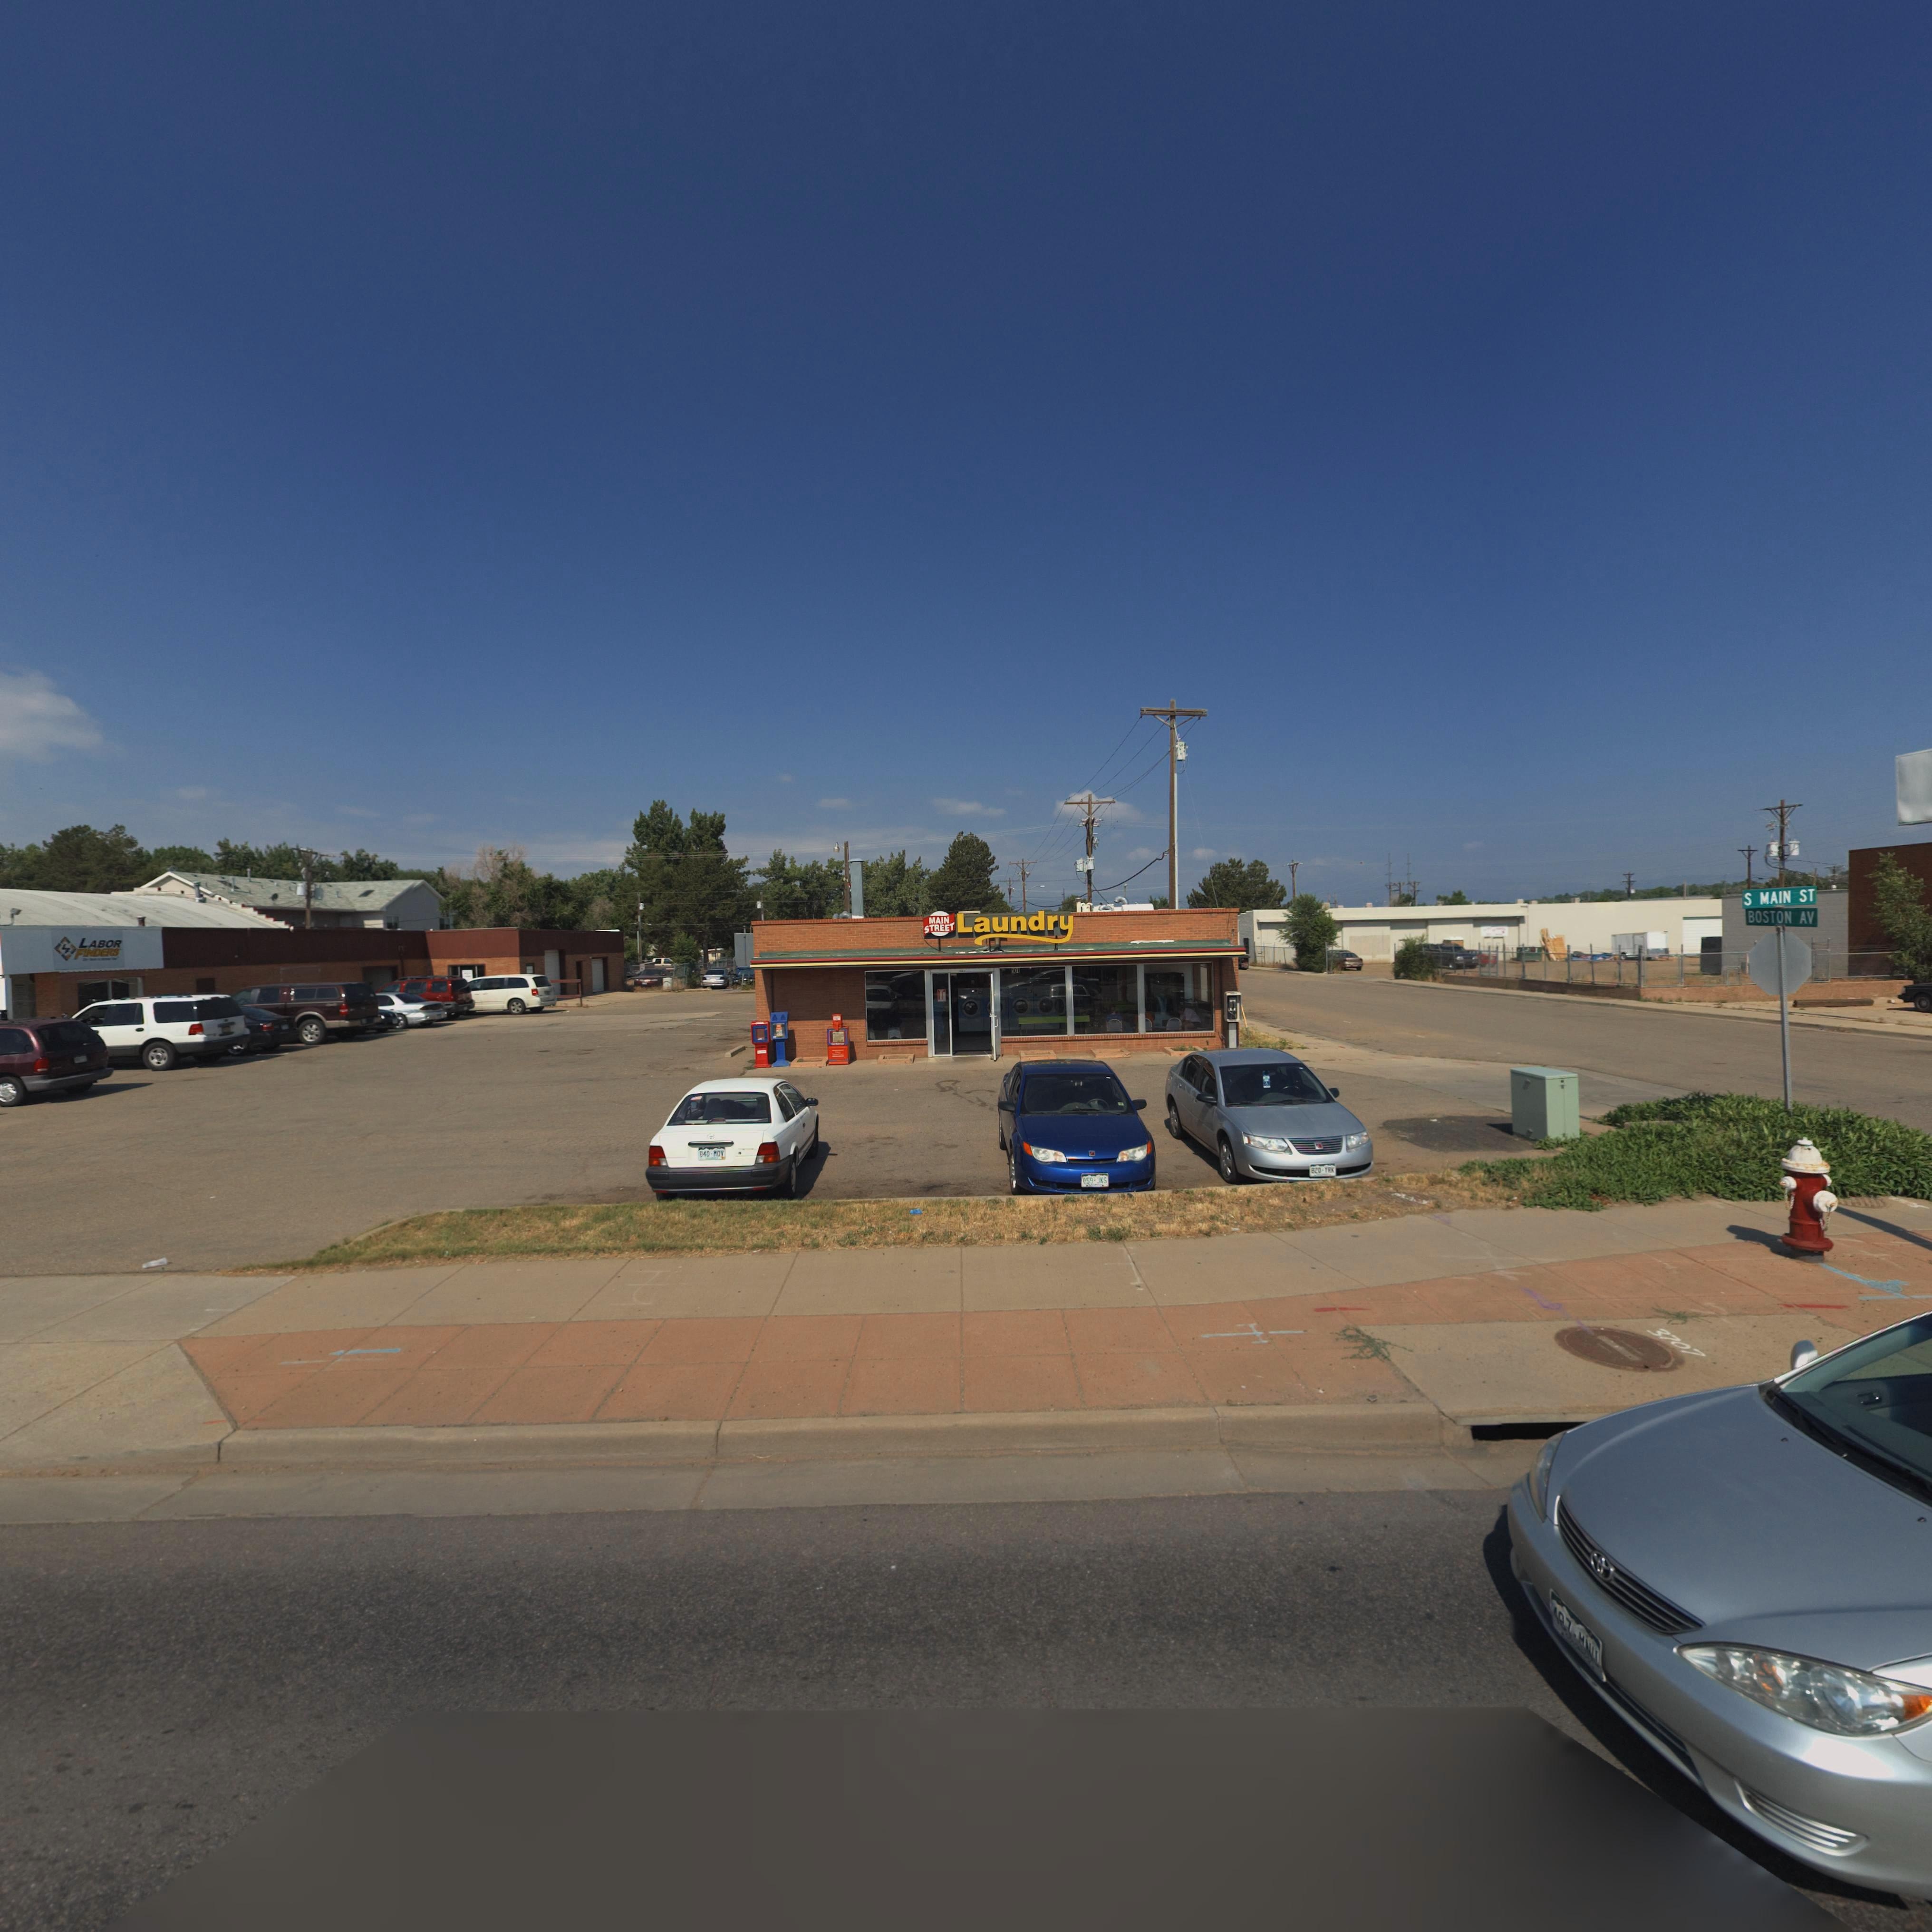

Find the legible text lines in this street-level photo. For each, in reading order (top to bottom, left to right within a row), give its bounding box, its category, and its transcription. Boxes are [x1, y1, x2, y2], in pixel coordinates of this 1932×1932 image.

[1743, 888, 1816, 906] StreetName: S MAIN ST
[928, 916, 949, 924] BusinessName: MAIN
[924, 921, 955, 934] BusinessName: STREET
[956, 910, 1074, 943] BusinessName: Laundry
[1748, 910, 1815, 925] StreetName: BOSTON AV
[78, 937, 122, 948] BusinessName: LABOR
[73, 948, 120, 960] BusinessName: FINDERS
[1012, 968, 1019, 973] StreetNumber: 101